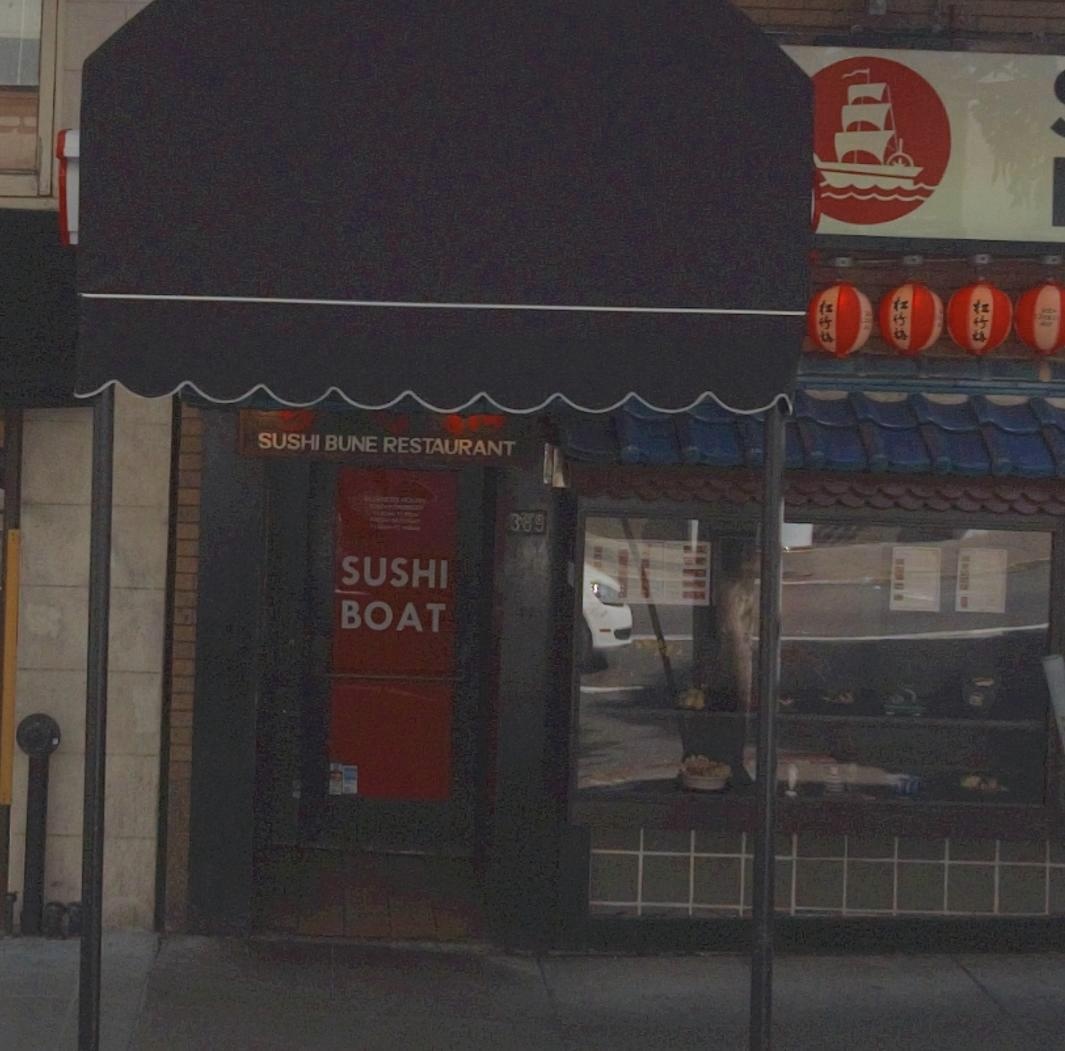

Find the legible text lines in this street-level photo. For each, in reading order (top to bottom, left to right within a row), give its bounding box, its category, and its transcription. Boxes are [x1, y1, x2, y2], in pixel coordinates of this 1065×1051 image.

[256, 431, 518, 457] BusinessName: SUSHI BUNE RESTAURANT
[509, 512, 546, 534] StreetNumber: 389
[340, 554, 450, 590] None: SUSHI
[340, 598, 447, 633] None: BOAT